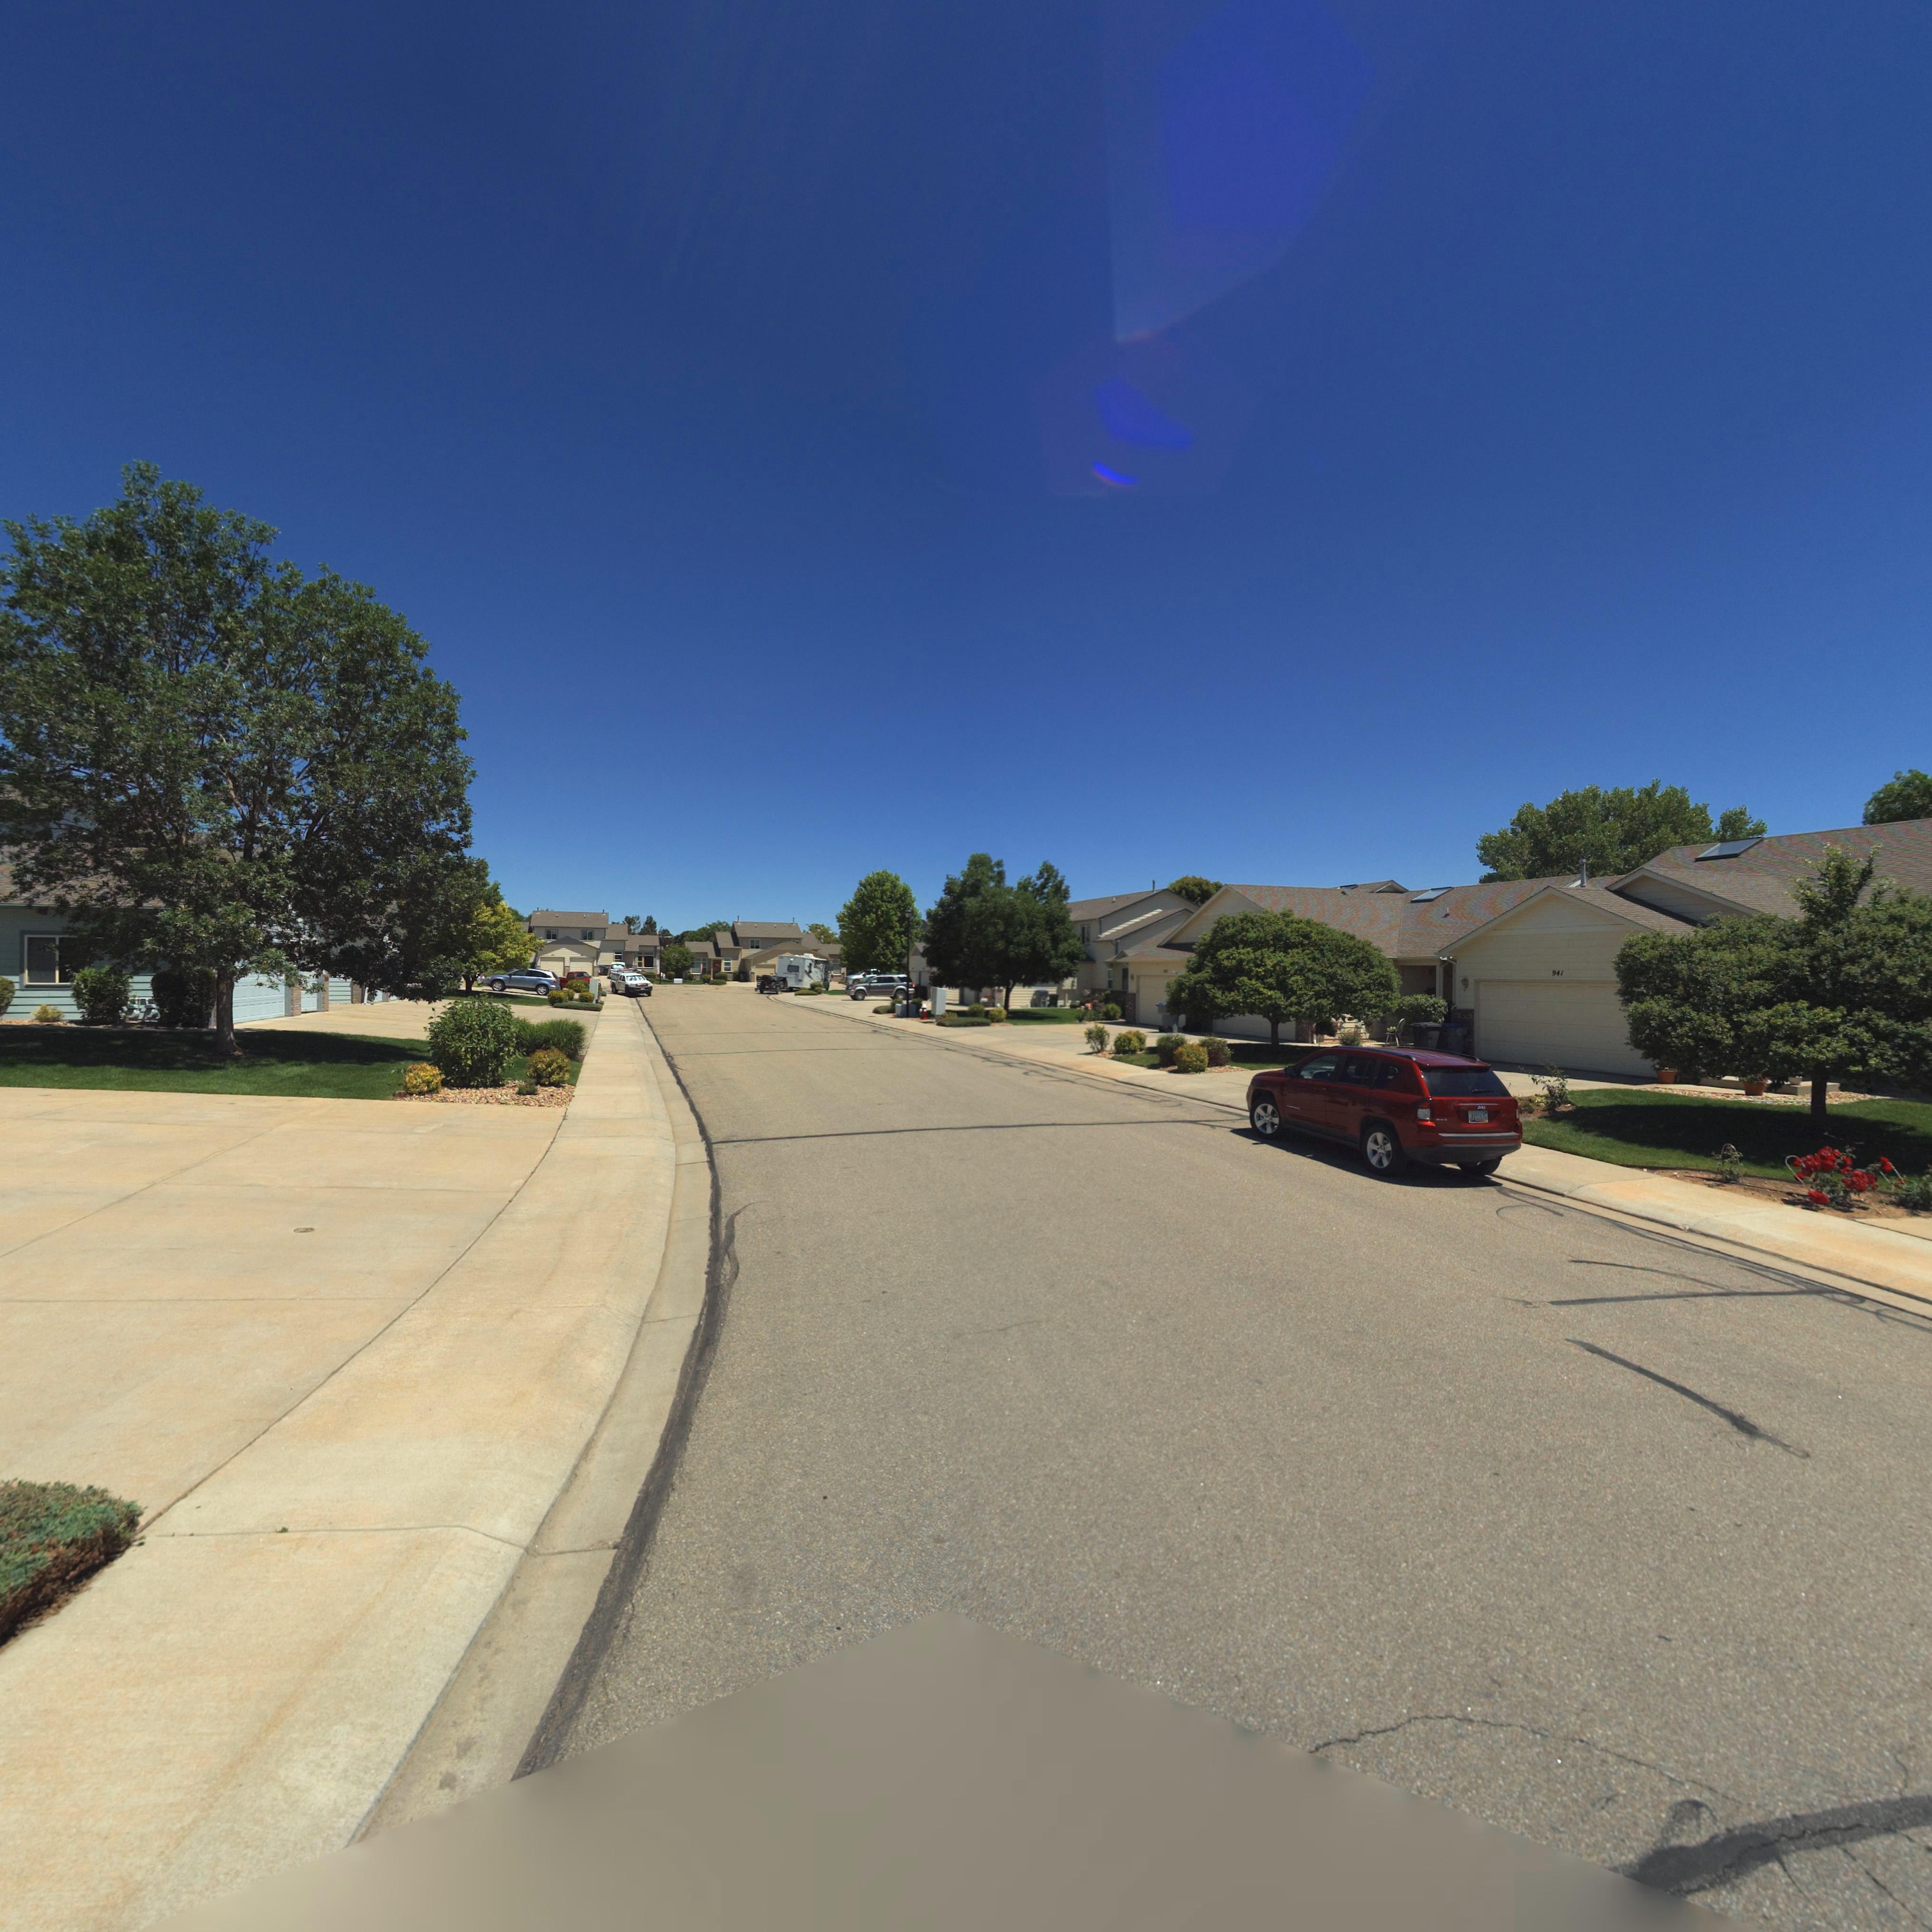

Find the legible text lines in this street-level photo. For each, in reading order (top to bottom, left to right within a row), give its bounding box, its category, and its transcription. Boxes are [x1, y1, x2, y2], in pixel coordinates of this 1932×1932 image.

[1551, 969, 1564, 976] StreetNumber: 941